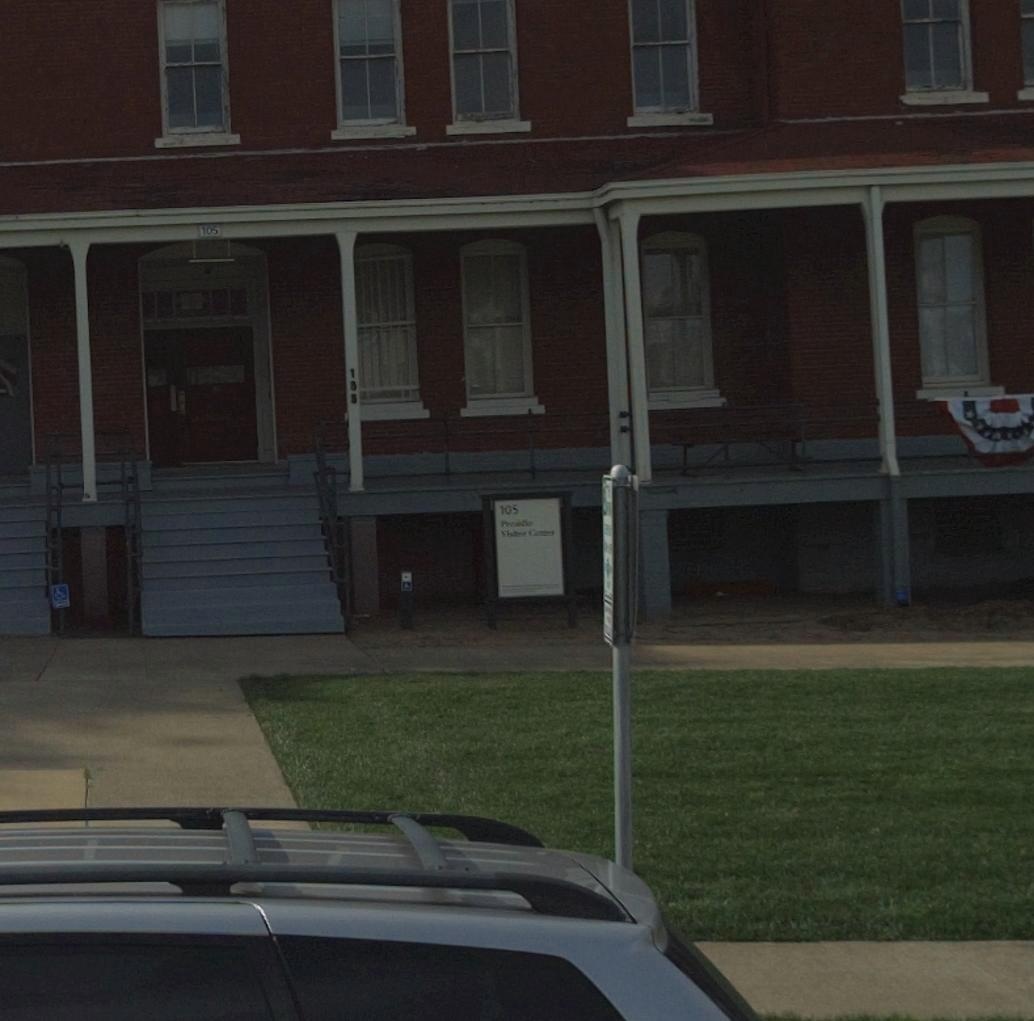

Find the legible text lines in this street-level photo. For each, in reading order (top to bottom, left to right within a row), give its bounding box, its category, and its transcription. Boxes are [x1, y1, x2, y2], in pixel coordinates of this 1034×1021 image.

[200, 225, 219, 235] StreetNumber: 105
[348, 367, 359, 405] StreetNumber: 105
[499, 503, 520, 516] StreetNumber: 105
[500, 518, 506, 528] None: P
[499, 529, 506, 537] None: V
[528, 528, 536, 536] None: C